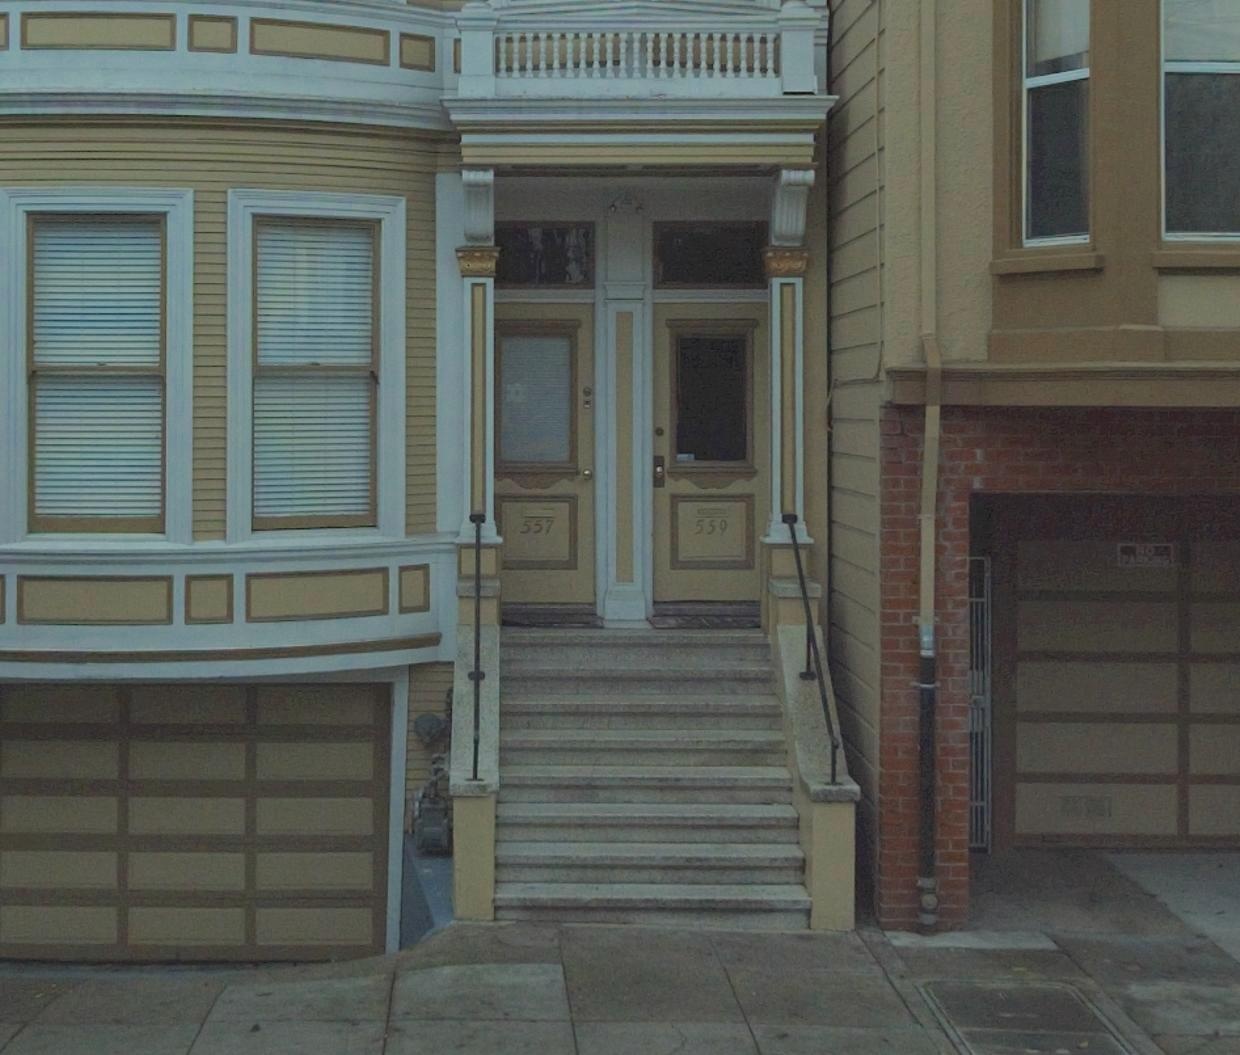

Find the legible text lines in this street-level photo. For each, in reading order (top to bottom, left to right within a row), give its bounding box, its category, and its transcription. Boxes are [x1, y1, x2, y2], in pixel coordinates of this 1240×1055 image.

[518, 517, 556, 536] StreetNumber: 557
[692, 517, 729, 538] StreetNumber: 559
[1134, 544, 1157, 557] None: NO